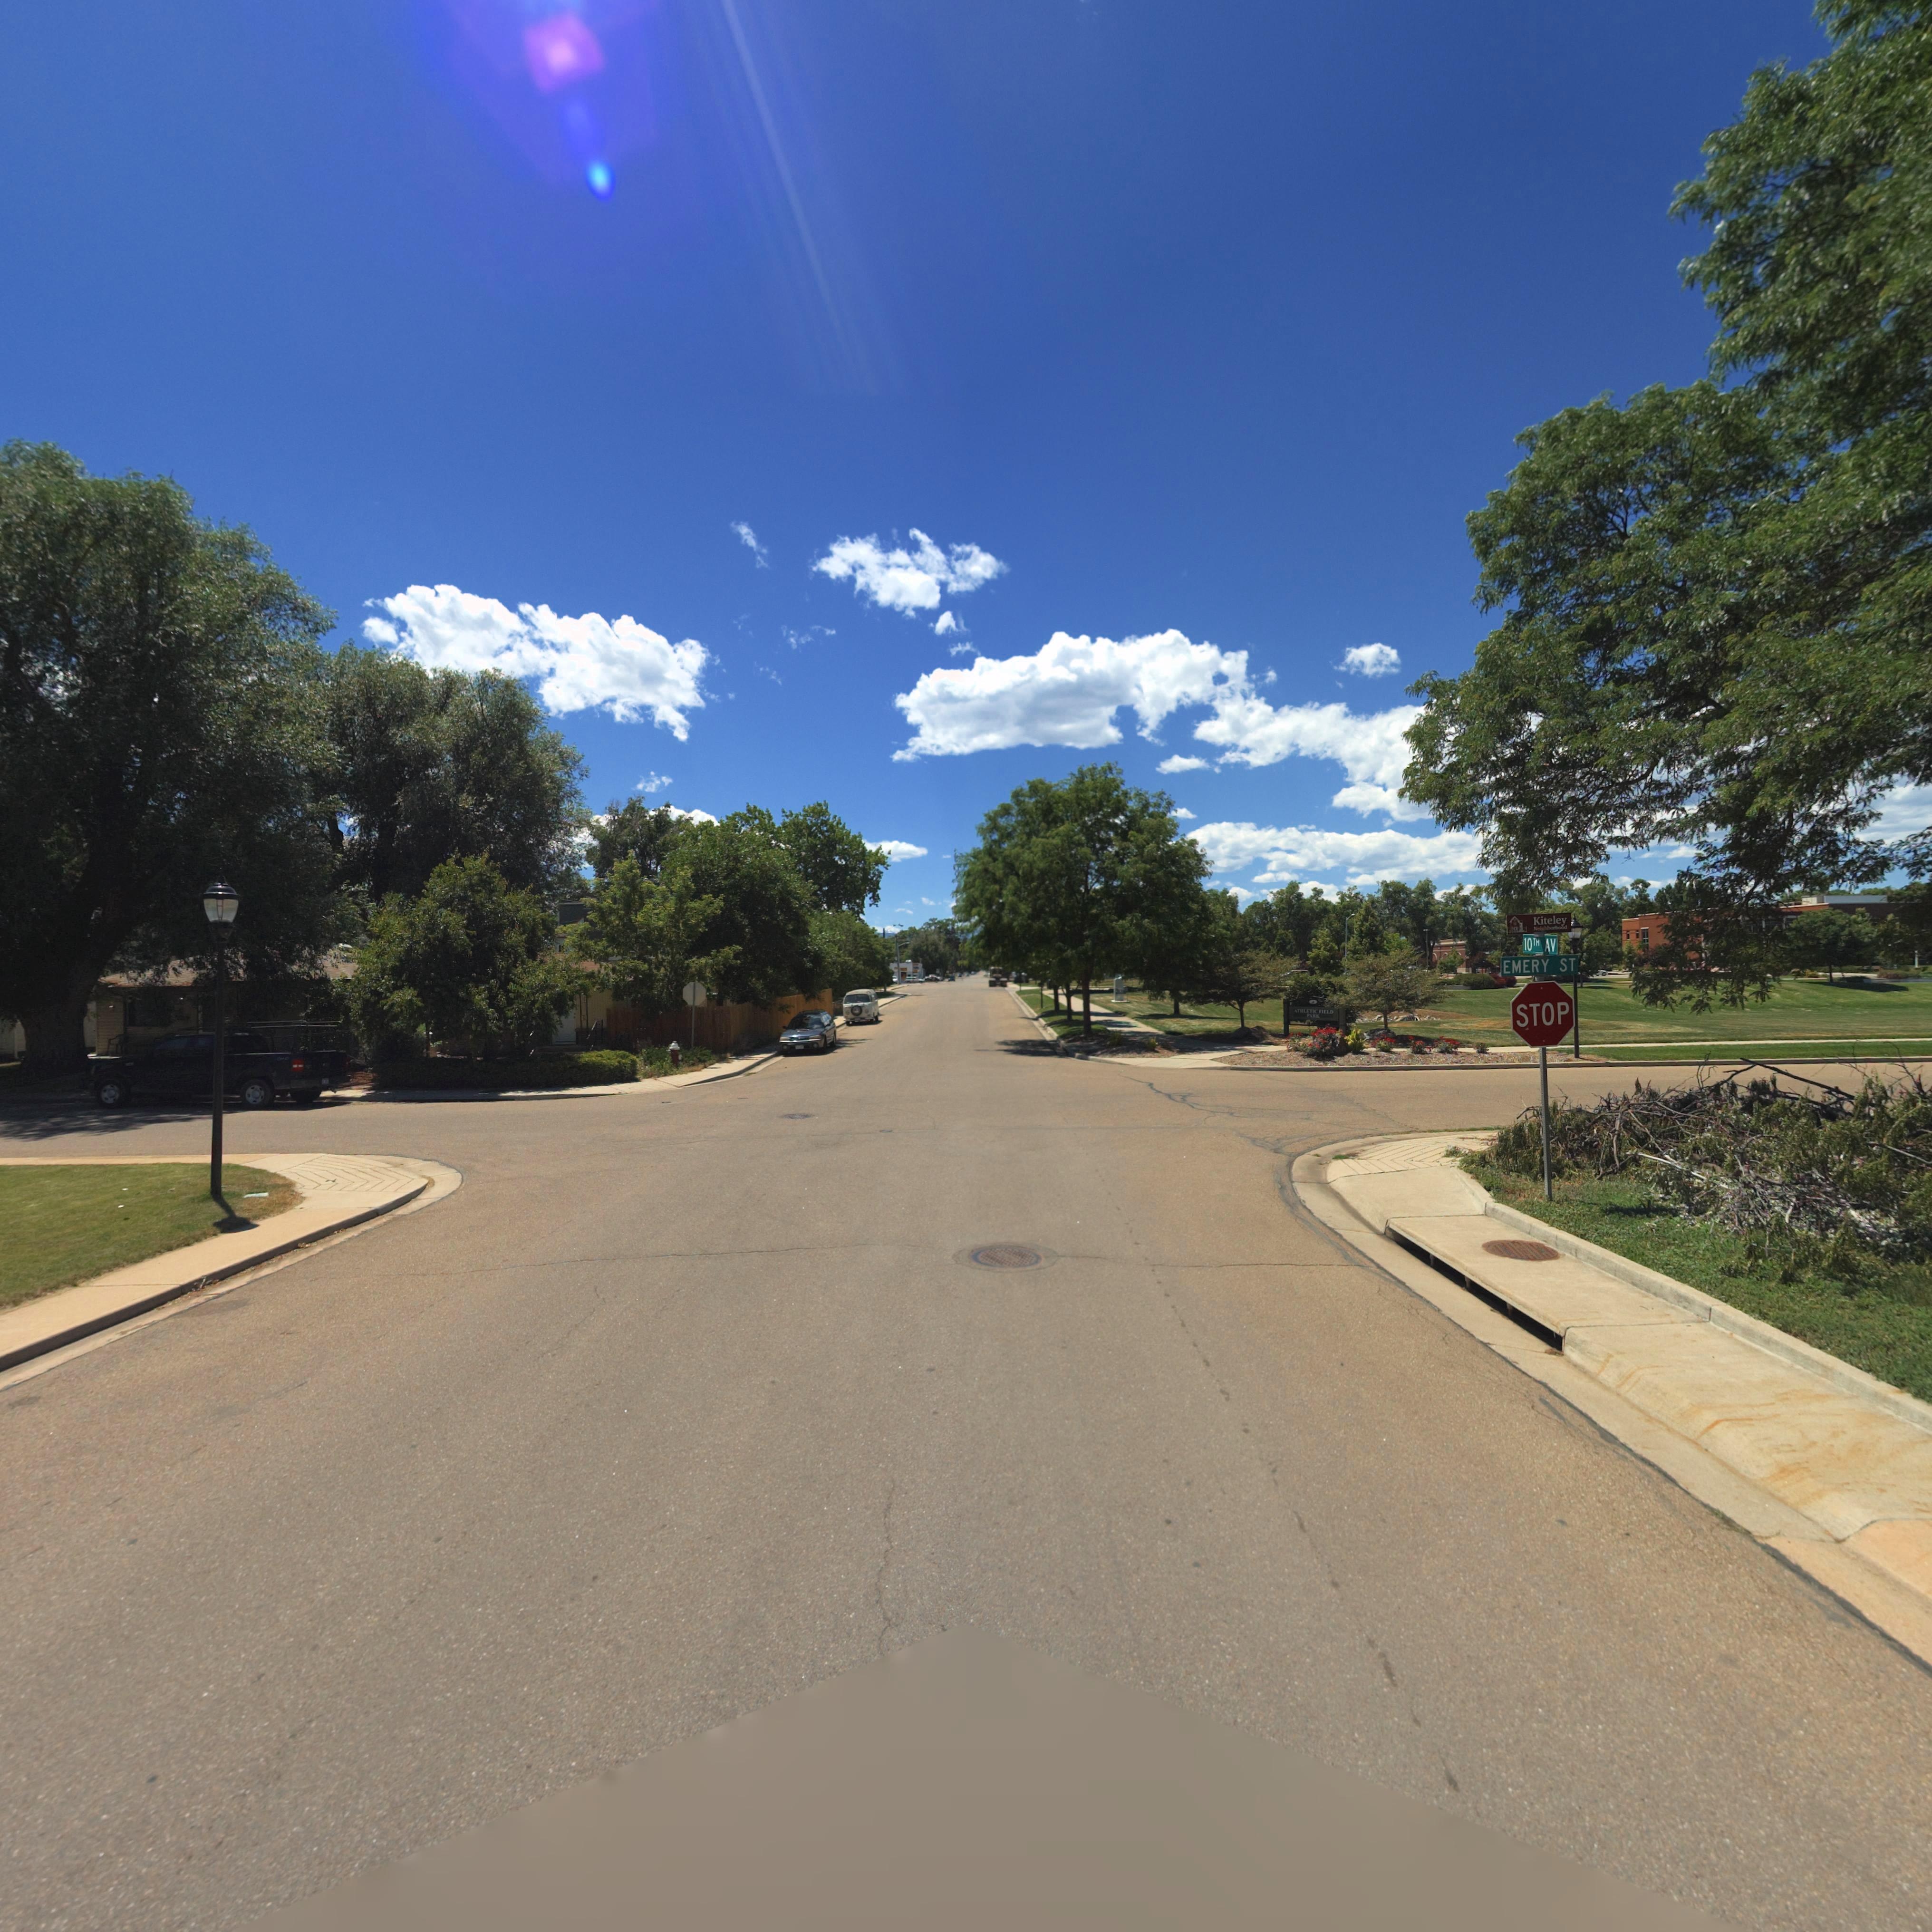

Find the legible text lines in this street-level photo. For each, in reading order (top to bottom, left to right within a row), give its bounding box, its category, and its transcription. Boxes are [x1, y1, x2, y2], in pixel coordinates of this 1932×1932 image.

[1524, 937, 1556, 952] StreetName: 10TH AV
[1503, 957, 1576, 974] StreetName: EMERY ST